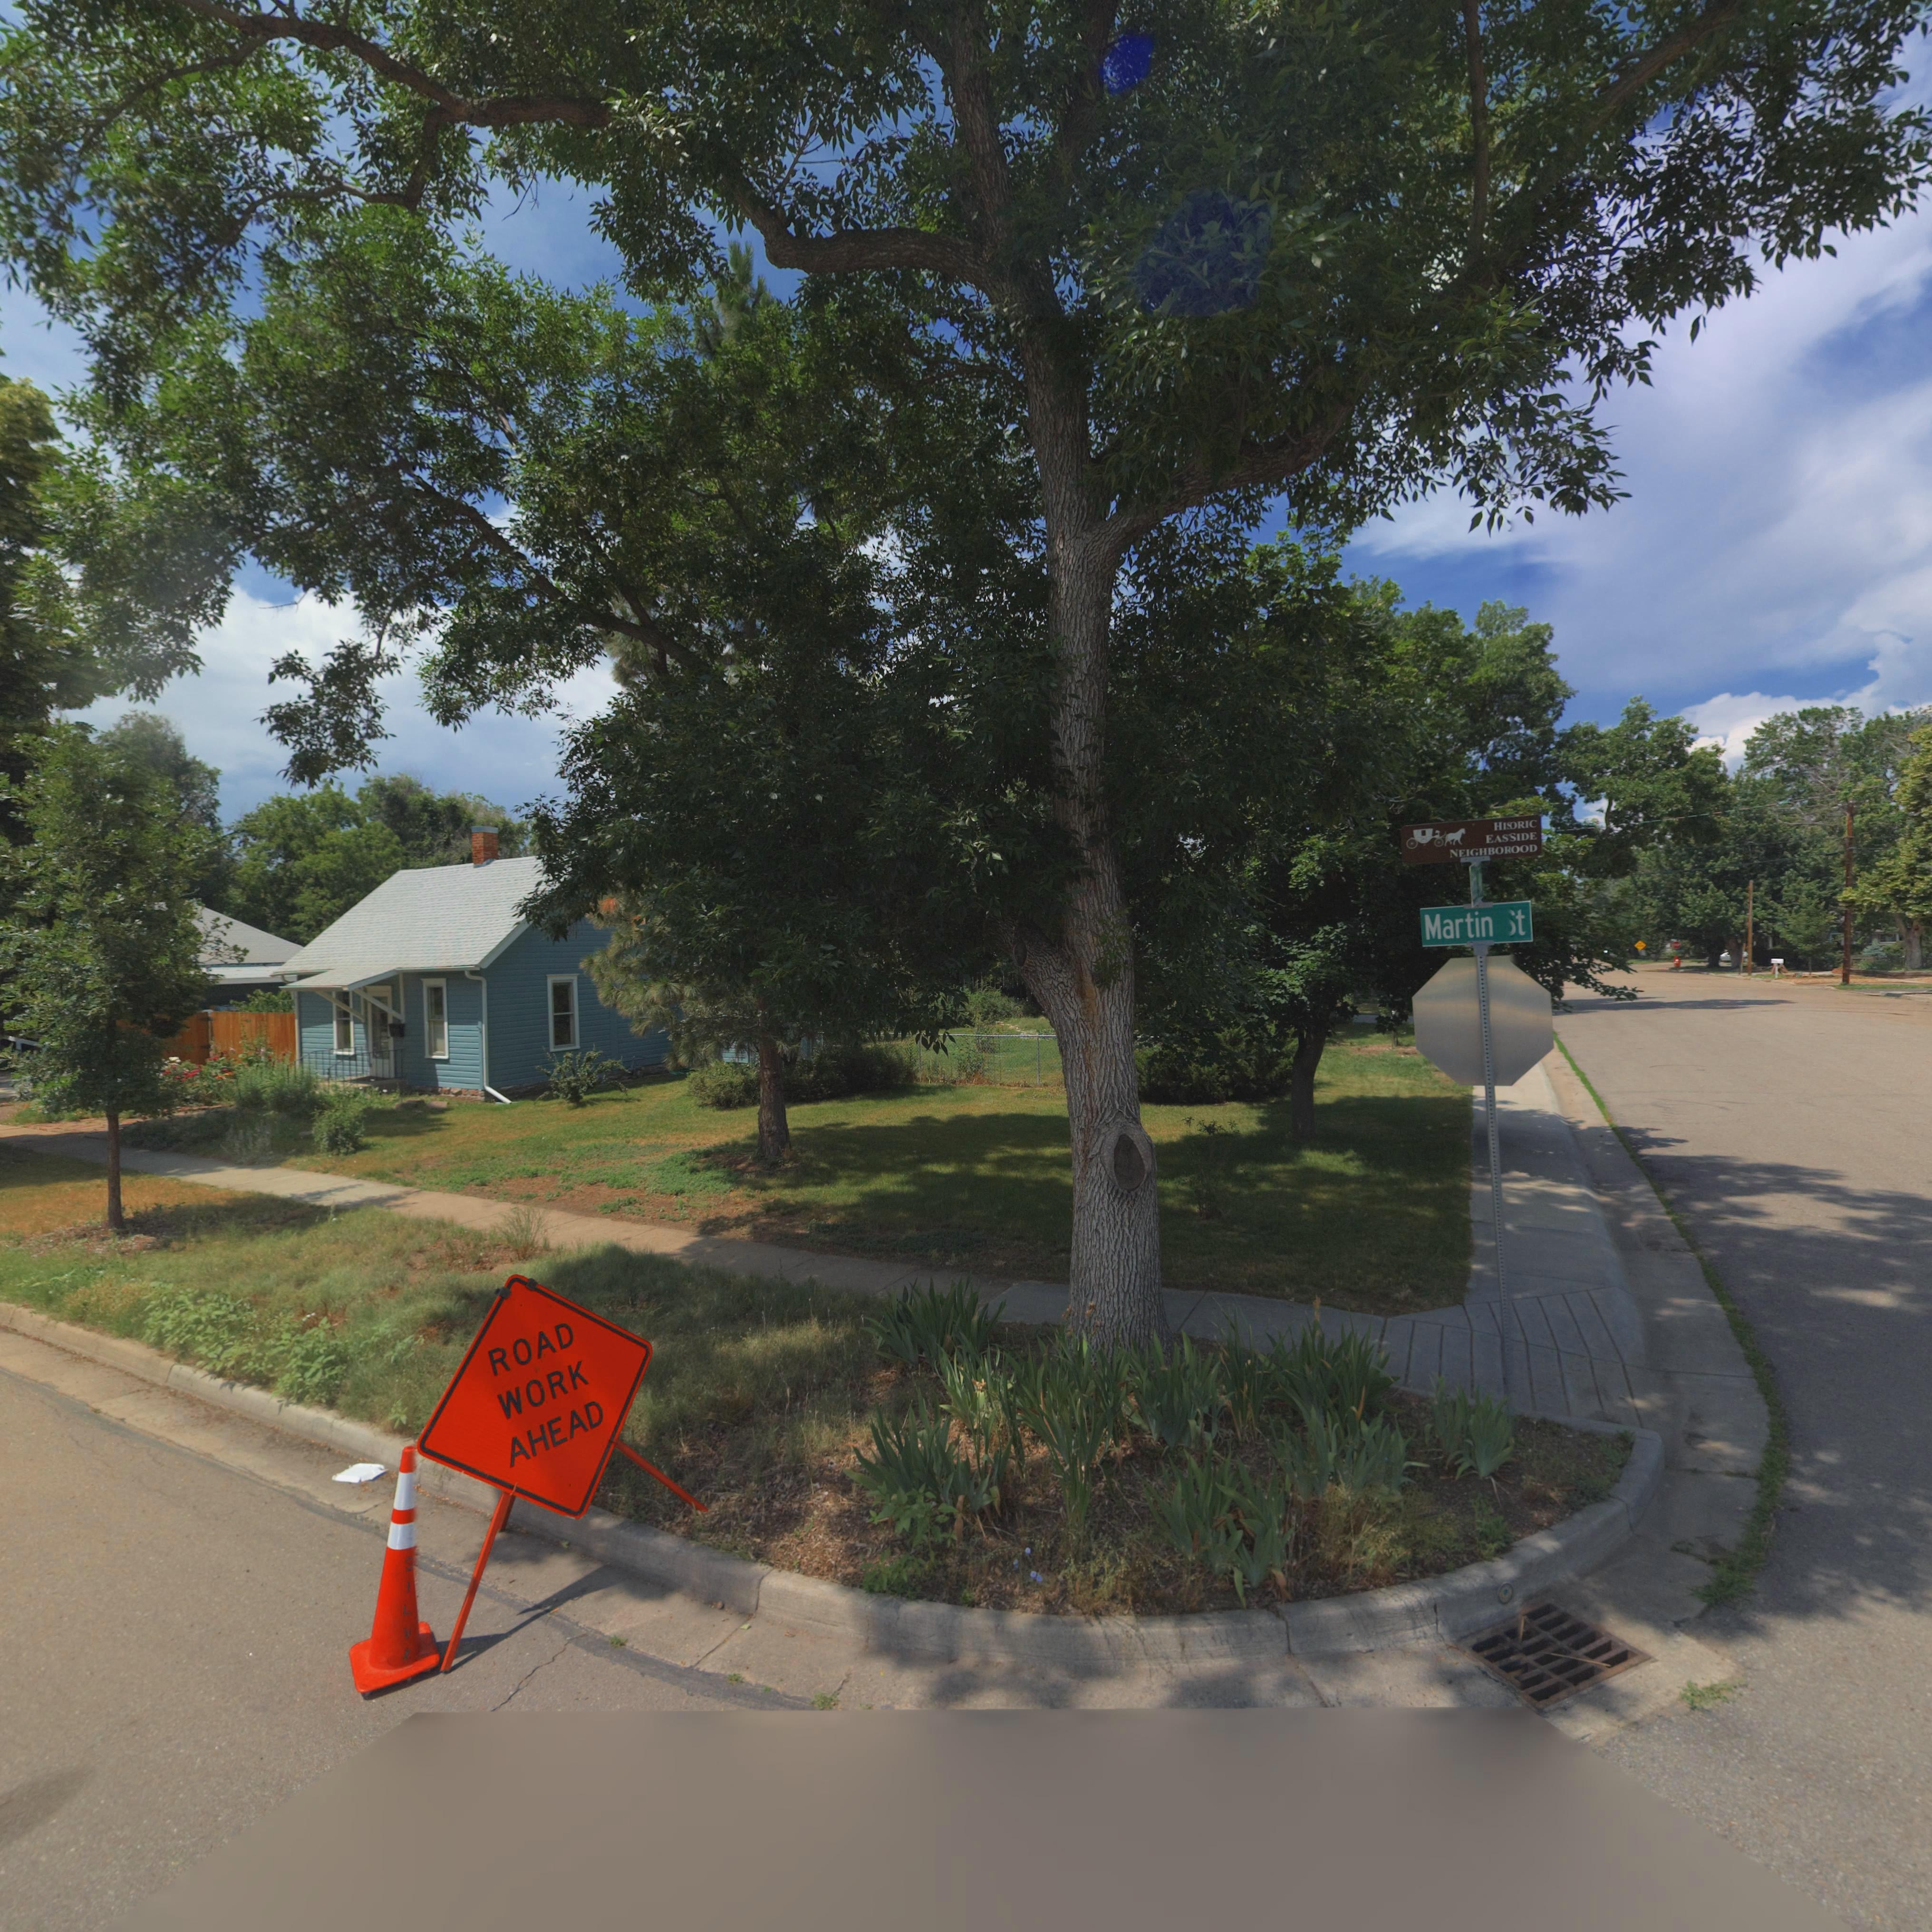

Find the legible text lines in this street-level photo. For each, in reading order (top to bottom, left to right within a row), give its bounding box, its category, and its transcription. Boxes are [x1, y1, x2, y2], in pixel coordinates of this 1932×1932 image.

[1423, 906, 1526, 941] StreetName: Martin *t